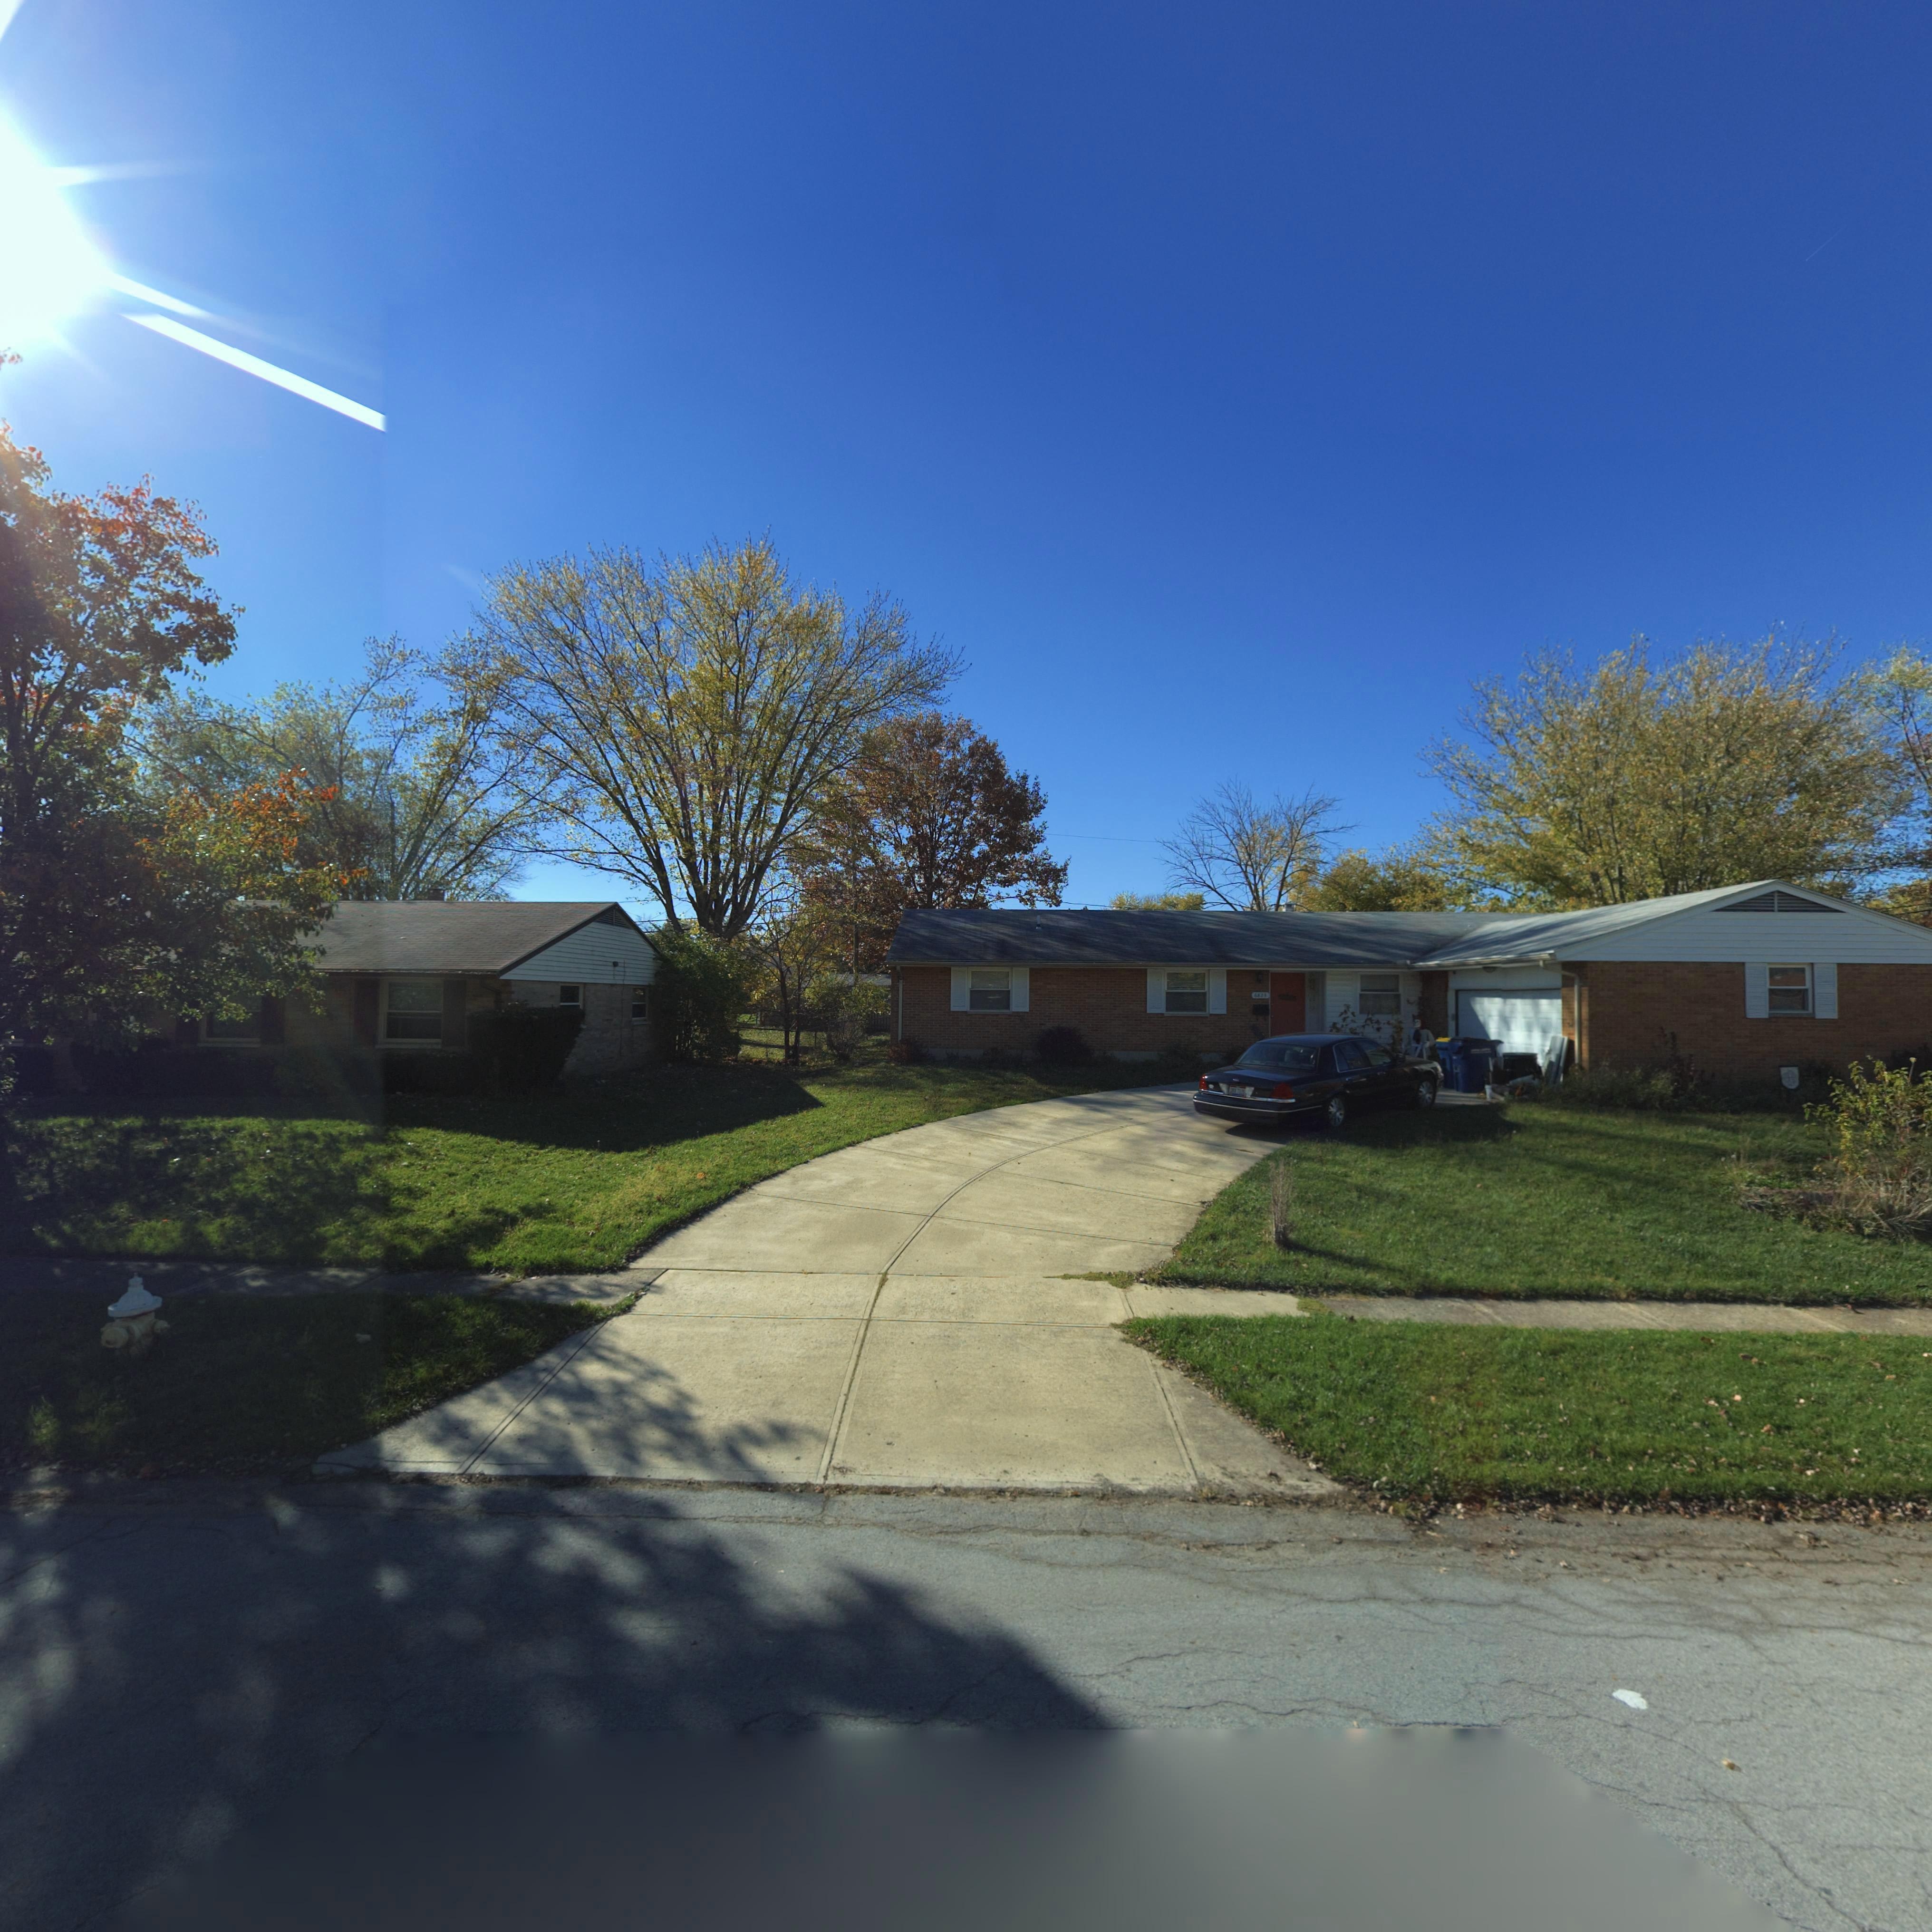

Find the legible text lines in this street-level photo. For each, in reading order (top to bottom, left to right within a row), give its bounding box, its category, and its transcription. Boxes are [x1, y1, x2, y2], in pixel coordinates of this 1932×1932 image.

[1254, 993, 1267, 998] StreetNumber: 682*